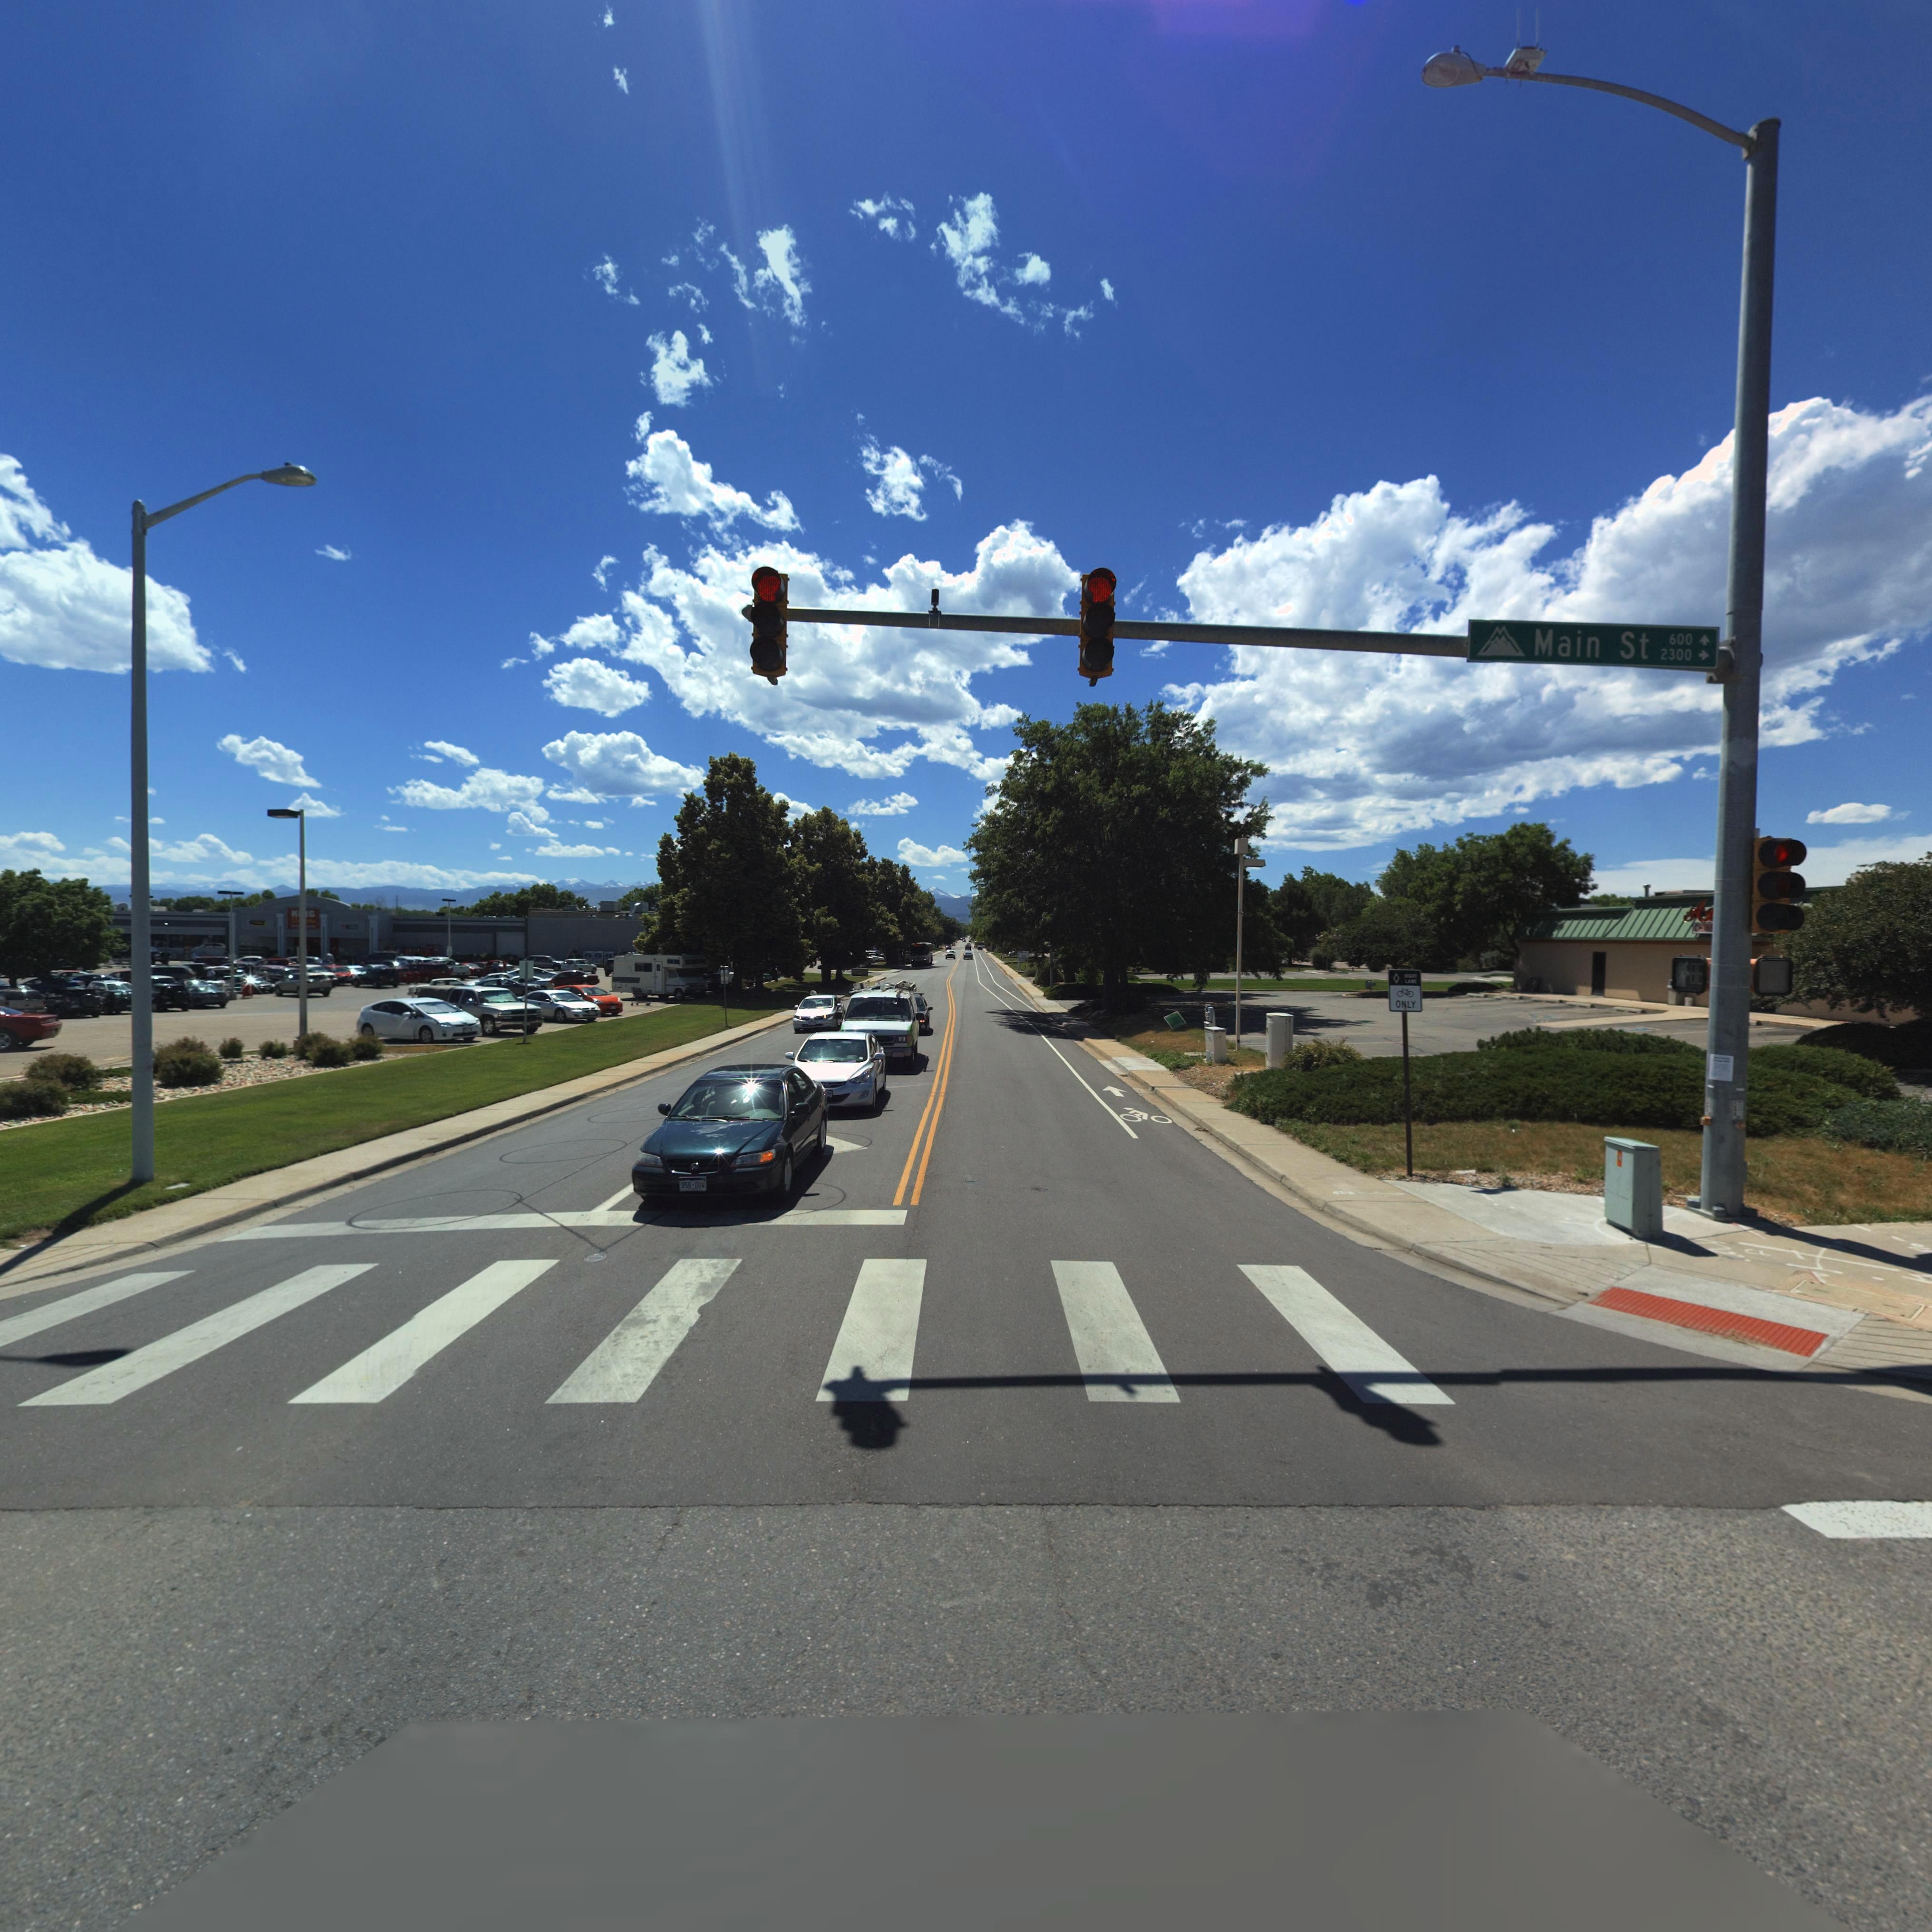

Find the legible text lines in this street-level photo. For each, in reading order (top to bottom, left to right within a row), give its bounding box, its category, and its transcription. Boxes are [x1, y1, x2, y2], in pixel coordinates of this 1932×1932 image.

[1534, 627, 1650, 660] StreetName: Main St
[1669, 632, 1693, 646] StreetNumberRange: 600
[1660, 647, 1710, 661] StreetNumberRange: 2300 ->
[291, 910, 315, 917] BusinessName: K**G
[1683, 898, 1714, 922] BusinessName: A*